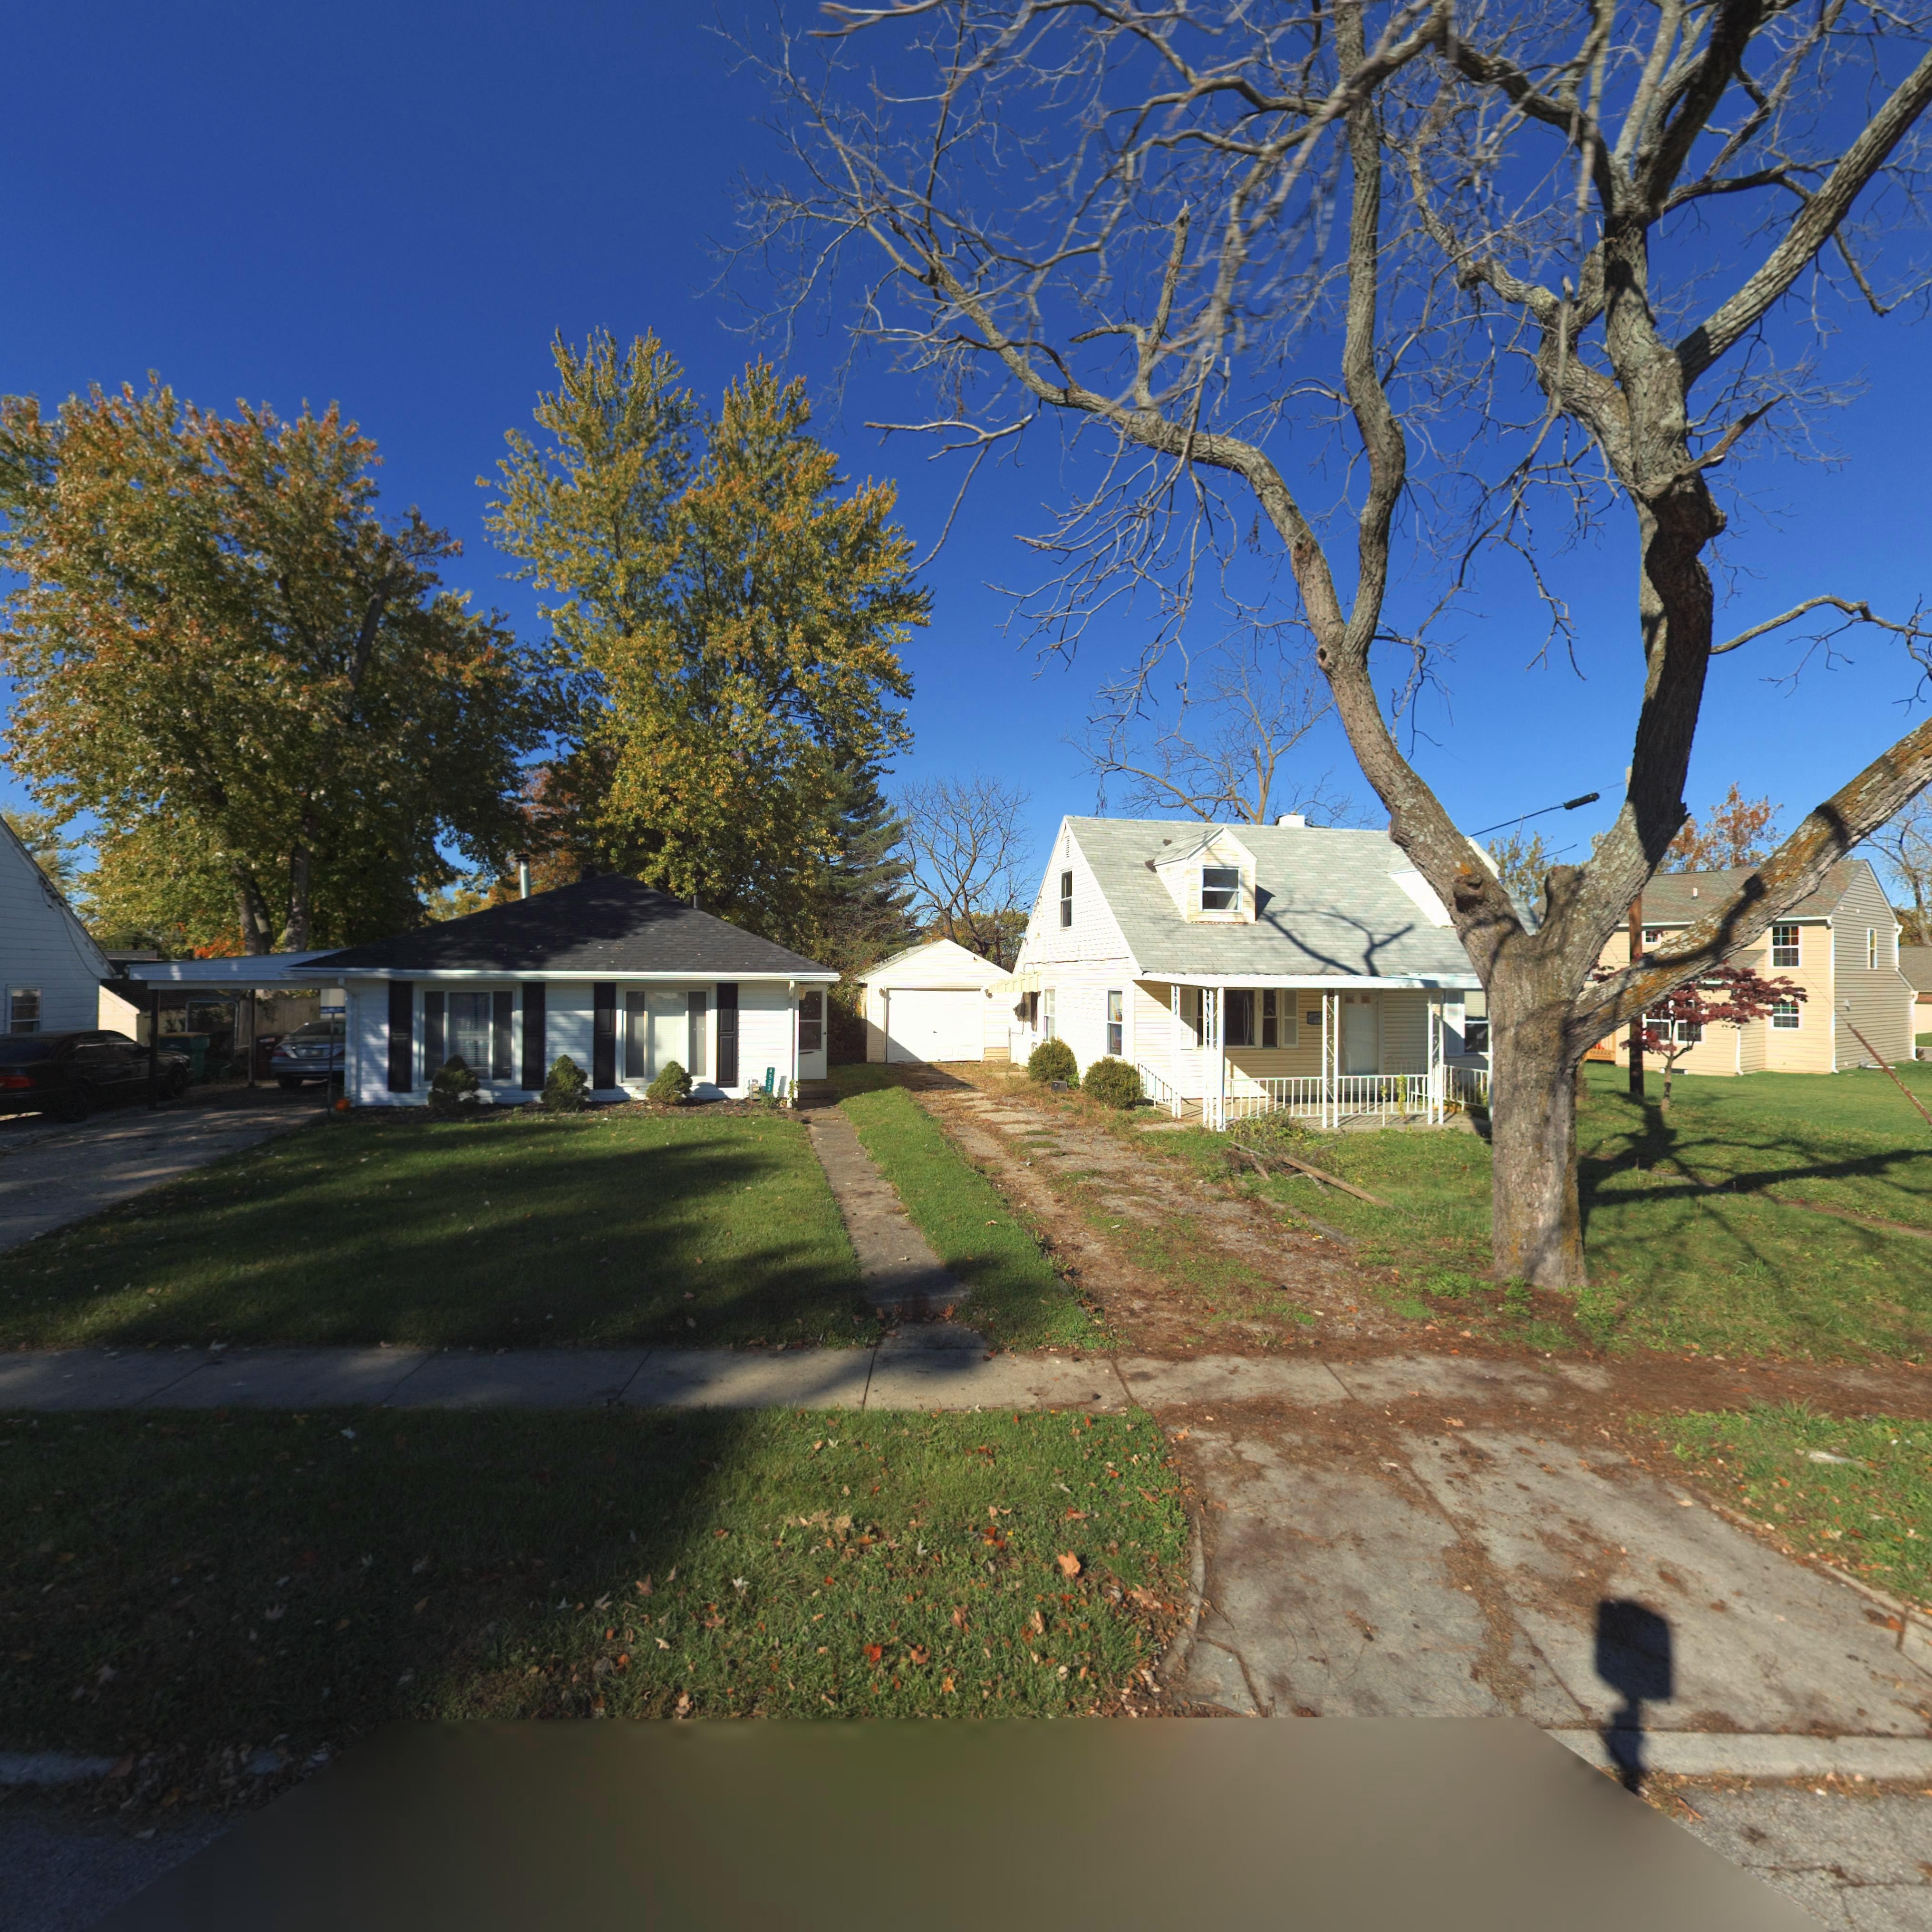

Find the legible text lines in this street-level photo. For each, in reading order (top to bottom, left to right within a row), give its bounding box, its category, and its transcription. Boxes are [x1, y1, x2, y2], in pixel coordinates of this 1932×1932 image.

[766, 1067, 773, 1092] StreetNumber: 4533